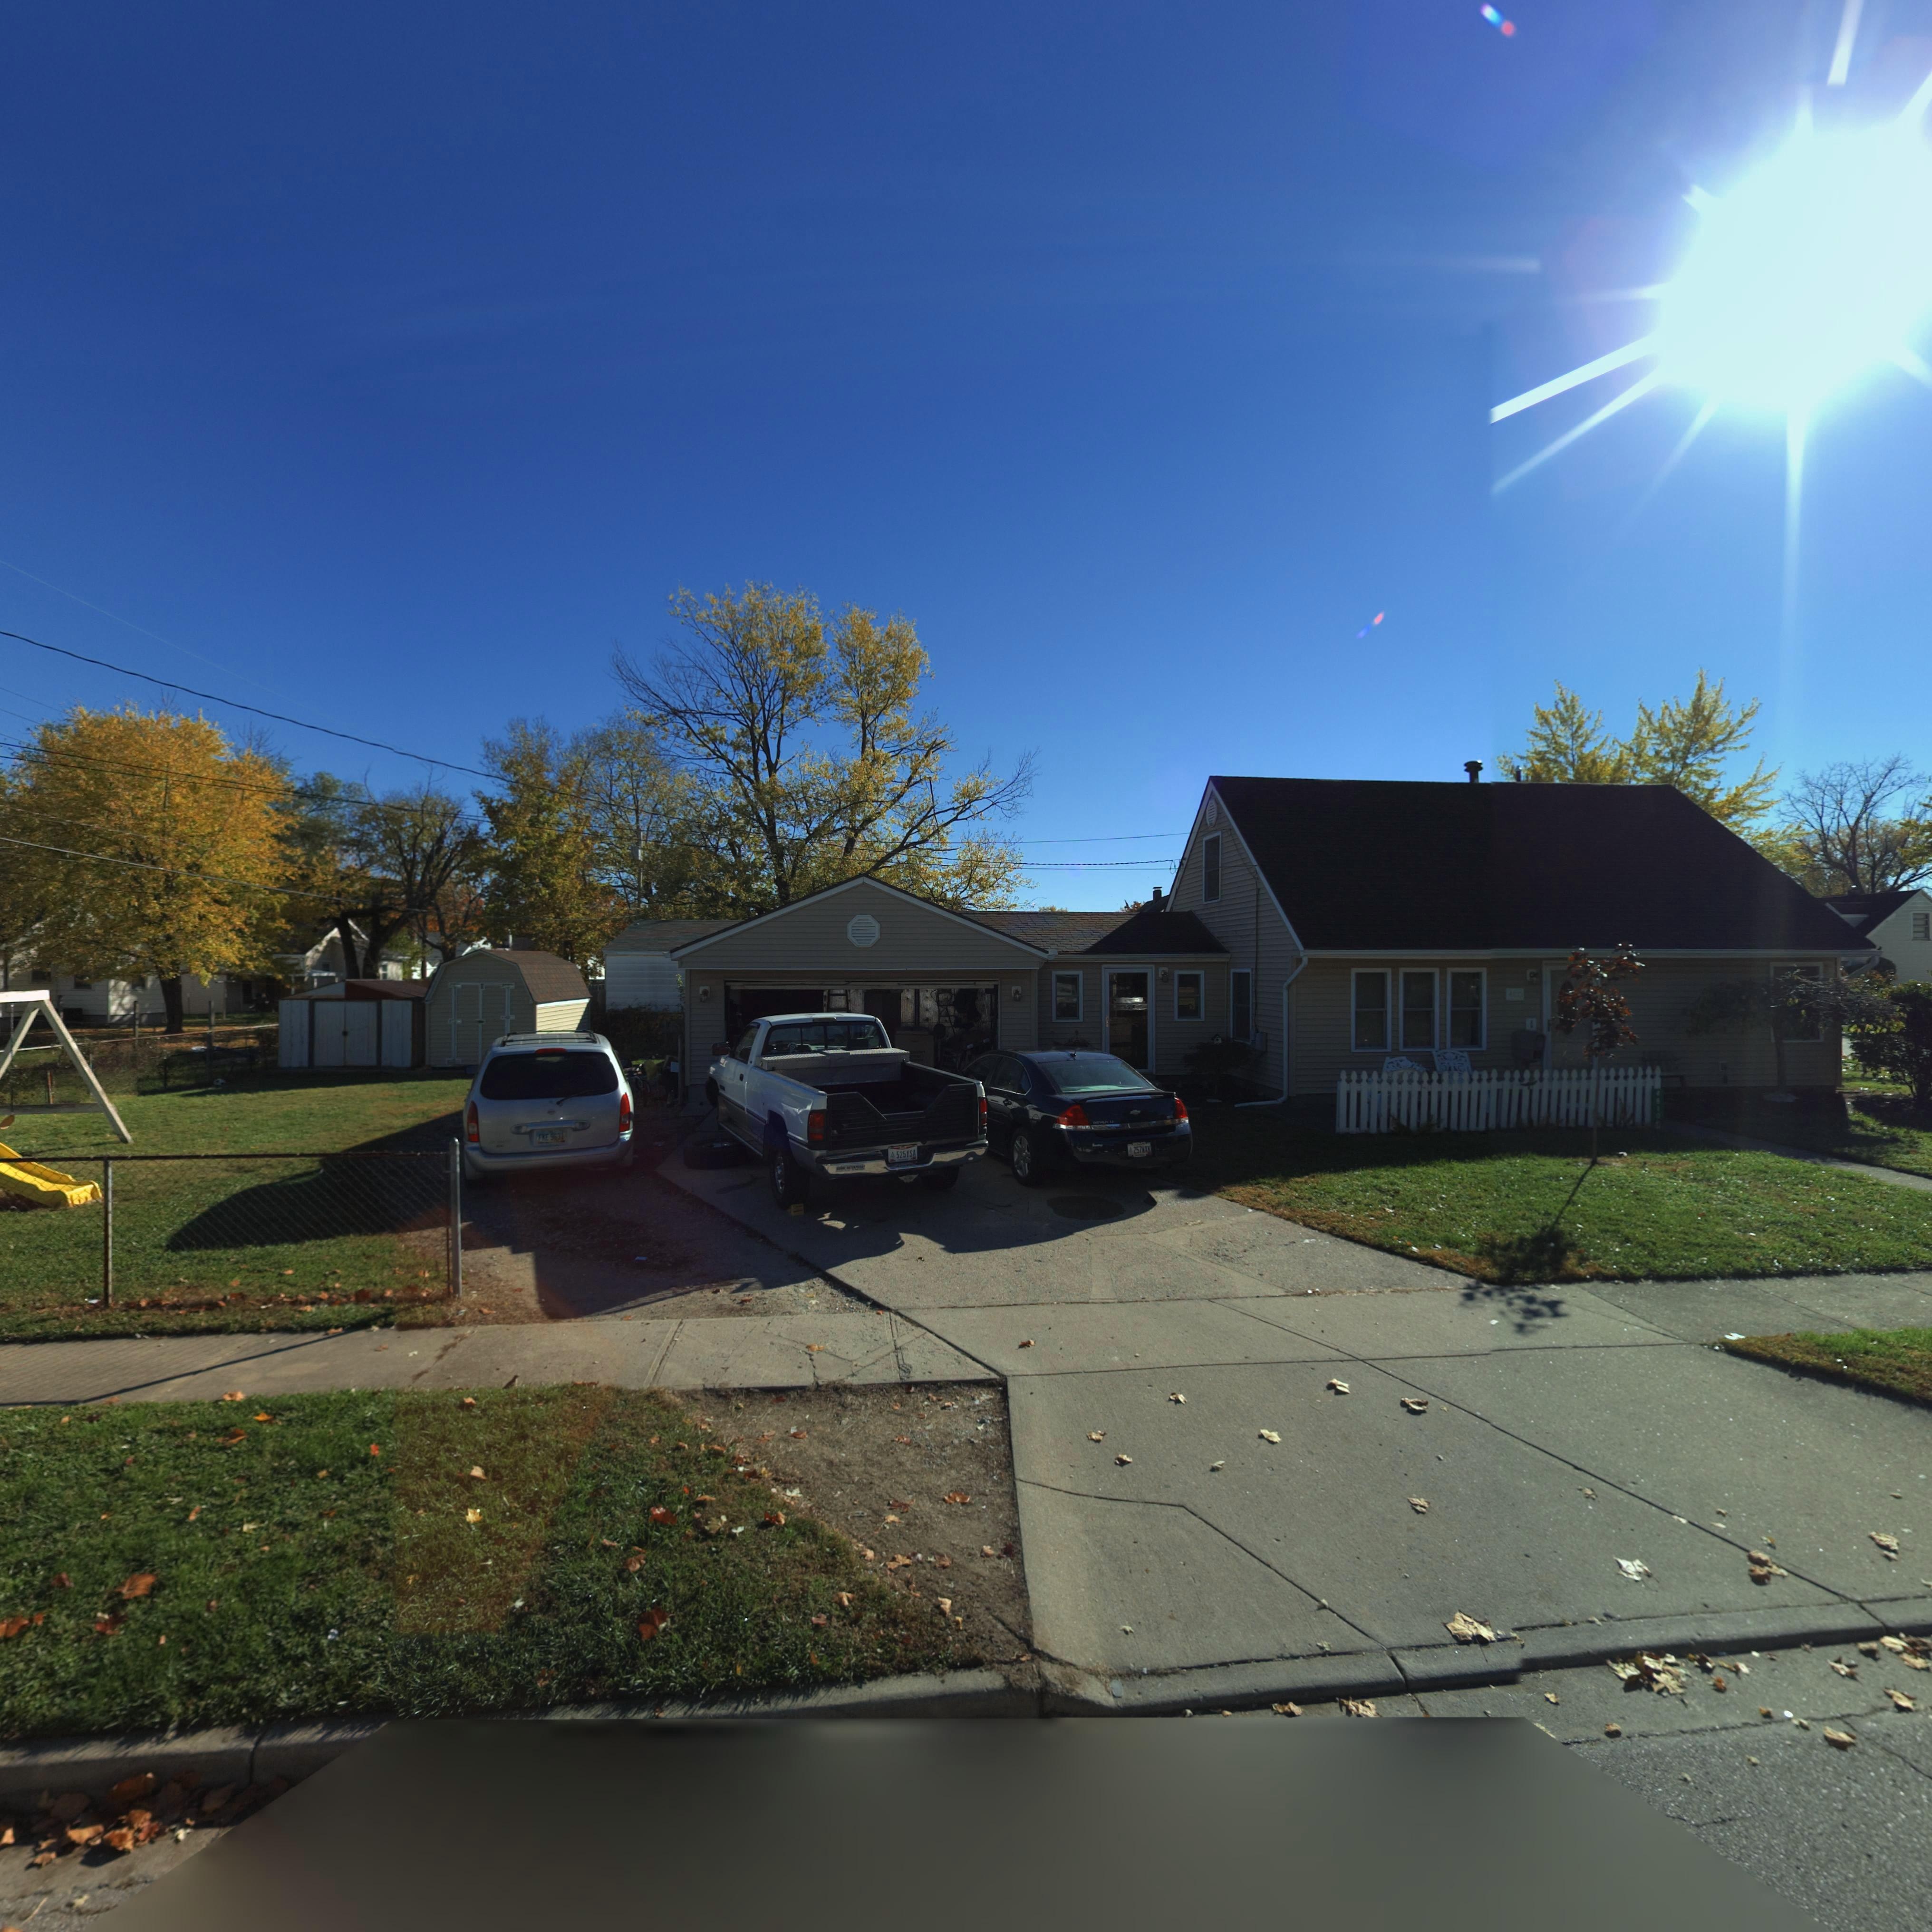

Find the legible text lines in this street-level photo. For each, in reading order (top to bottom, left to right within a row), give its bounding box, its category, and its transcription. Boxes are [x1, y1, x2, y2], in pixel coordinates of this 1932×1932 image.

[1508, 990, 1523, 998] StreetNumber: 4**0
[1655, 1090, 1661, 1119] StreetNumber: 4810